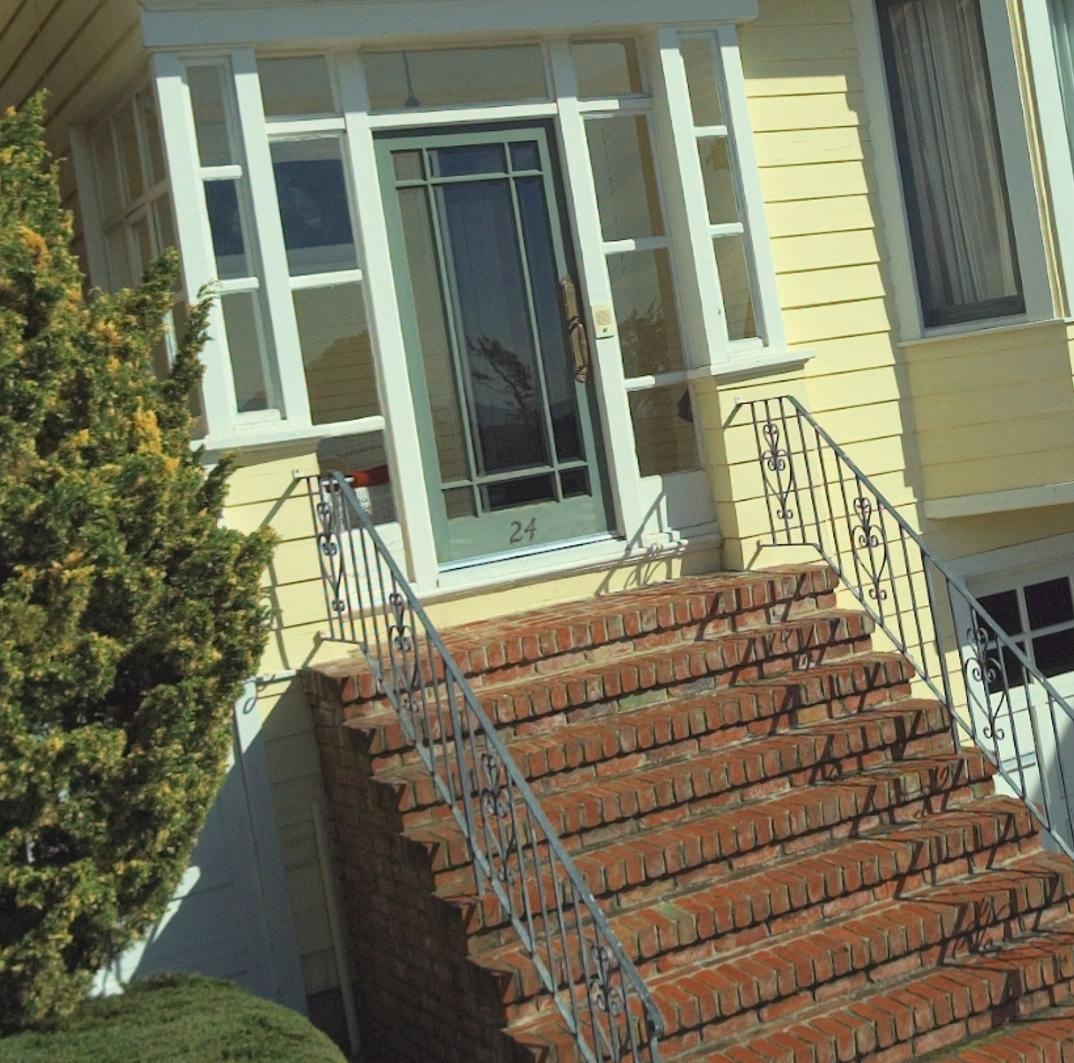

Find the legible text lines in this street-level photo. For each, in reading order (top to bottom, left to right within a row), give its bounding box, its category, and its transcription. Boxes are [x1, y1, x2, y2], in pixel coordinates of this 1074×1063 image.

[508, 515, 541, 546] StreetNumber: 24